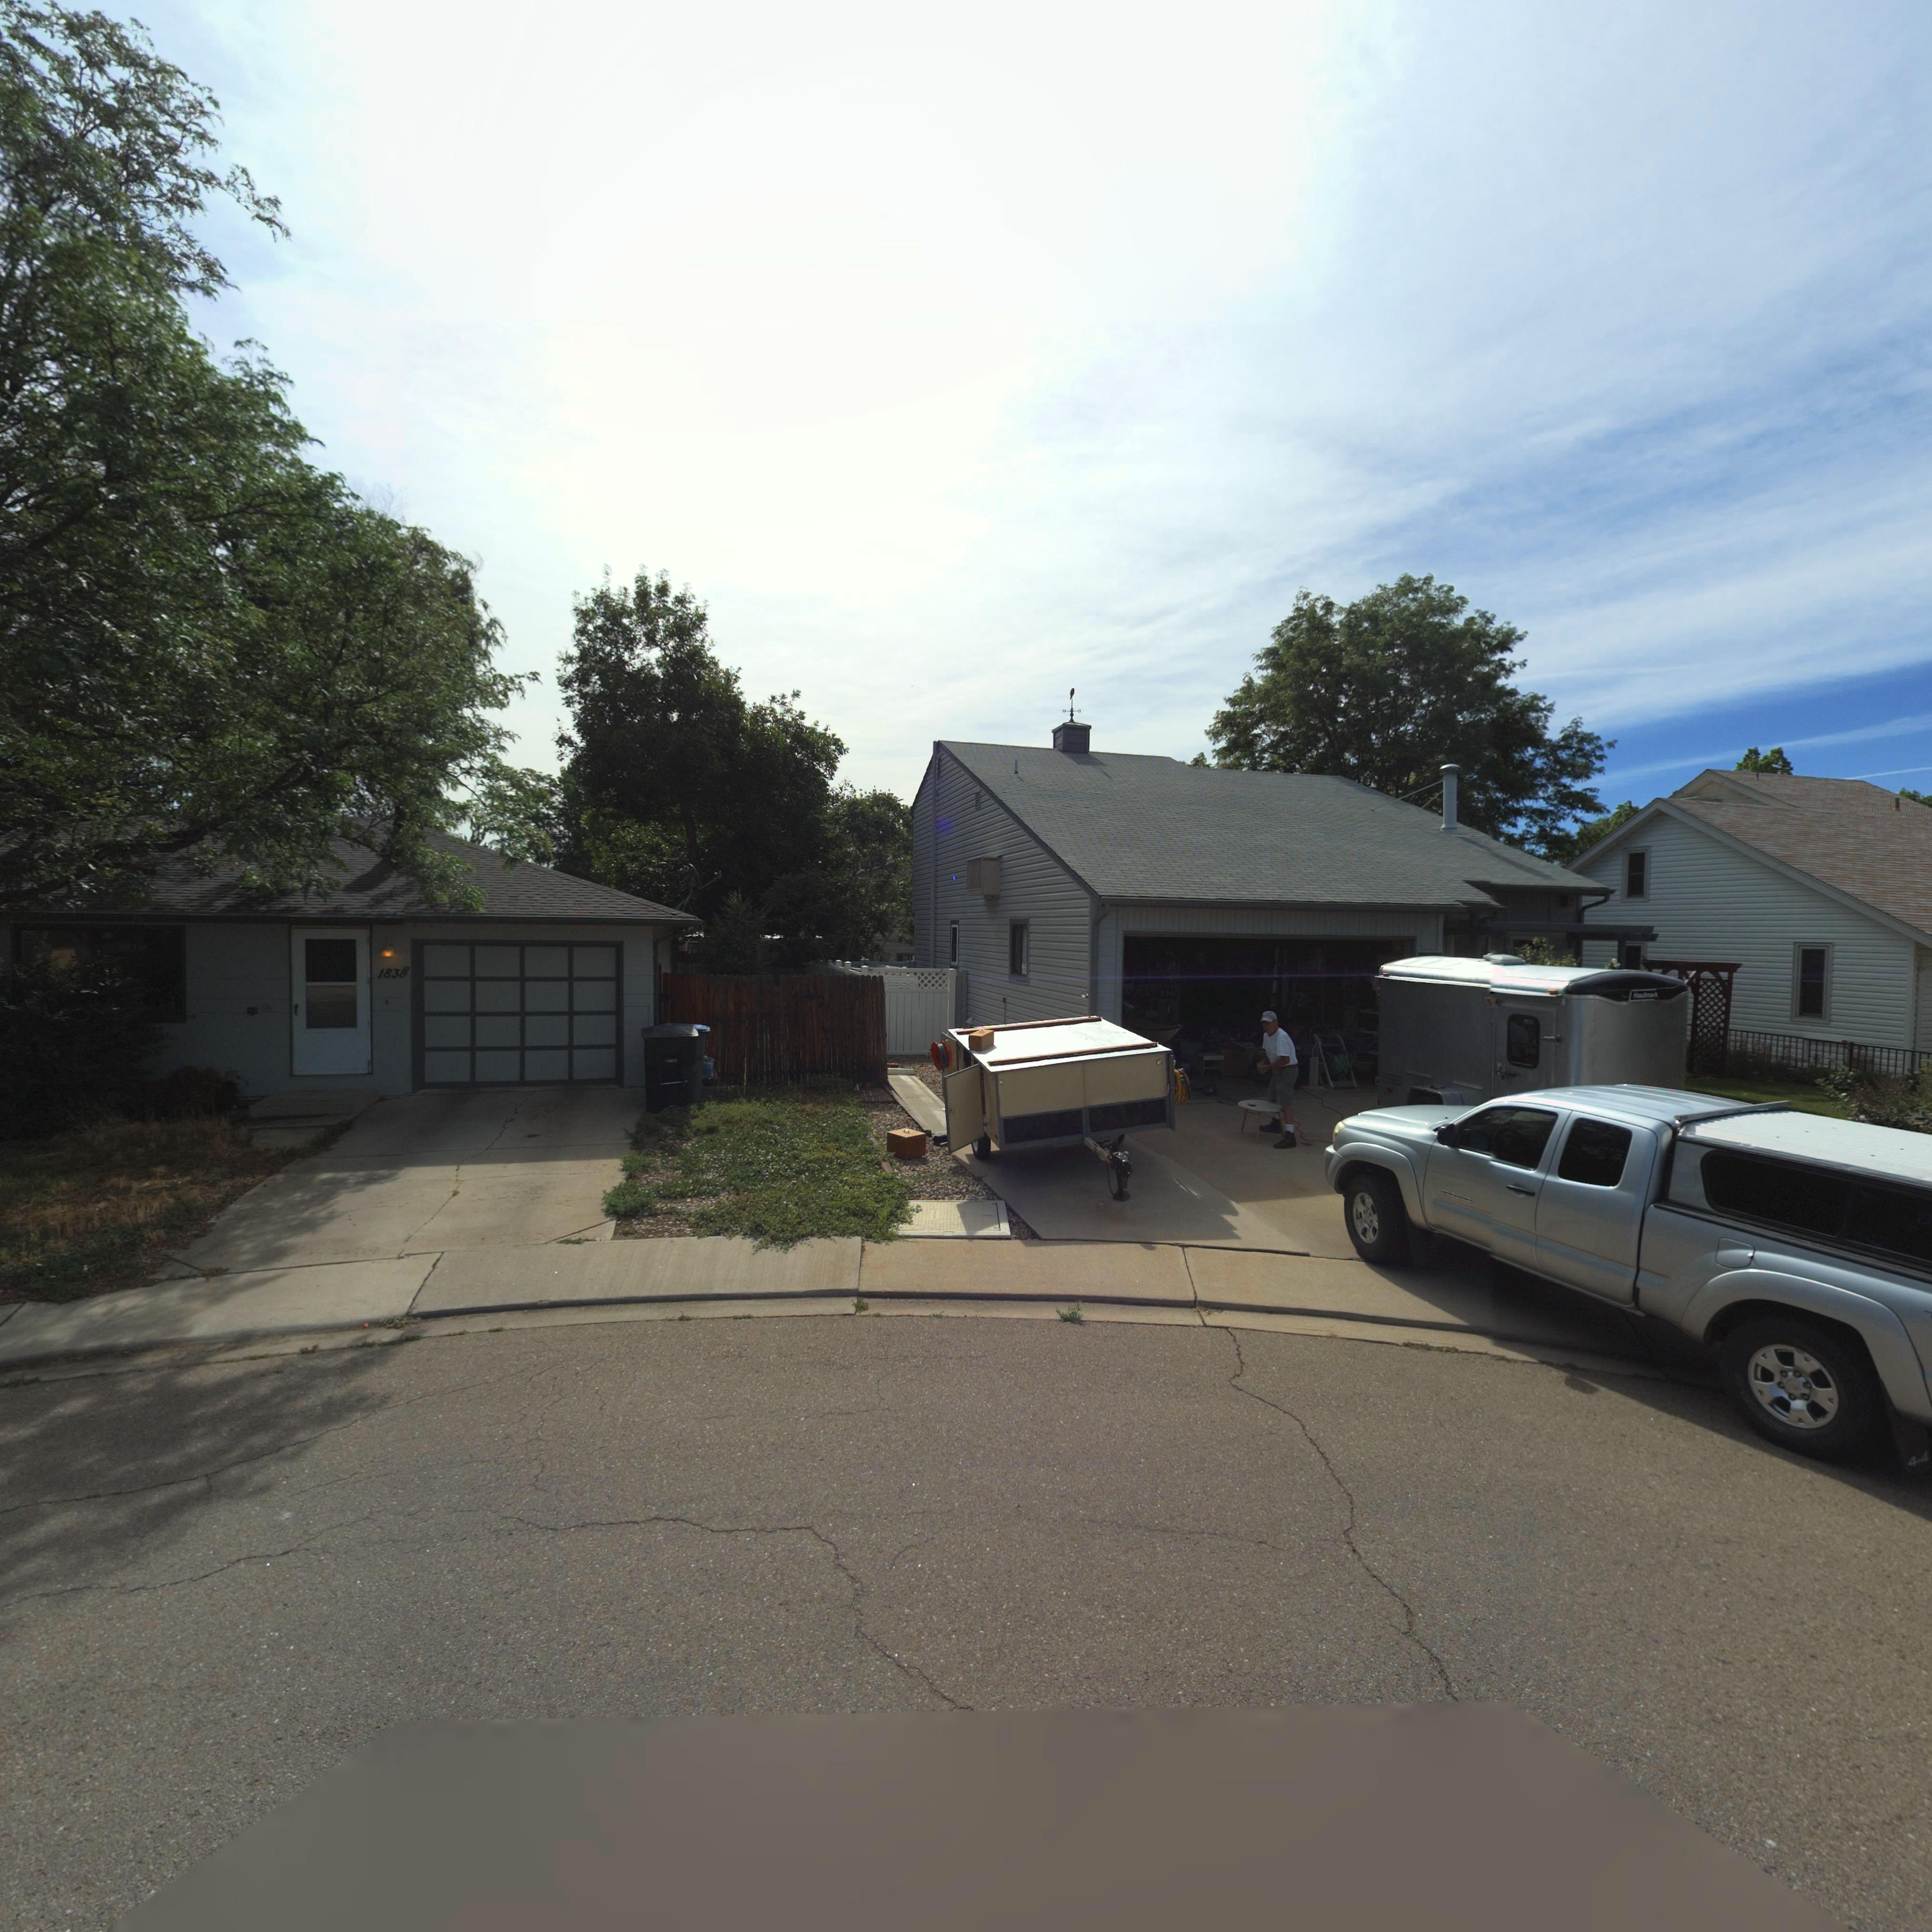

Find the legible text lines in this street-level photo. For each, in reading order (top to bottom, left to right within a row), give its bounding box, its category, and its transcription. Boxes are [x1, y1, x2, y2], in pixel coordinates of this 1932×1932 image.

[377, 965, 410, 978] StreetNumber: 183*